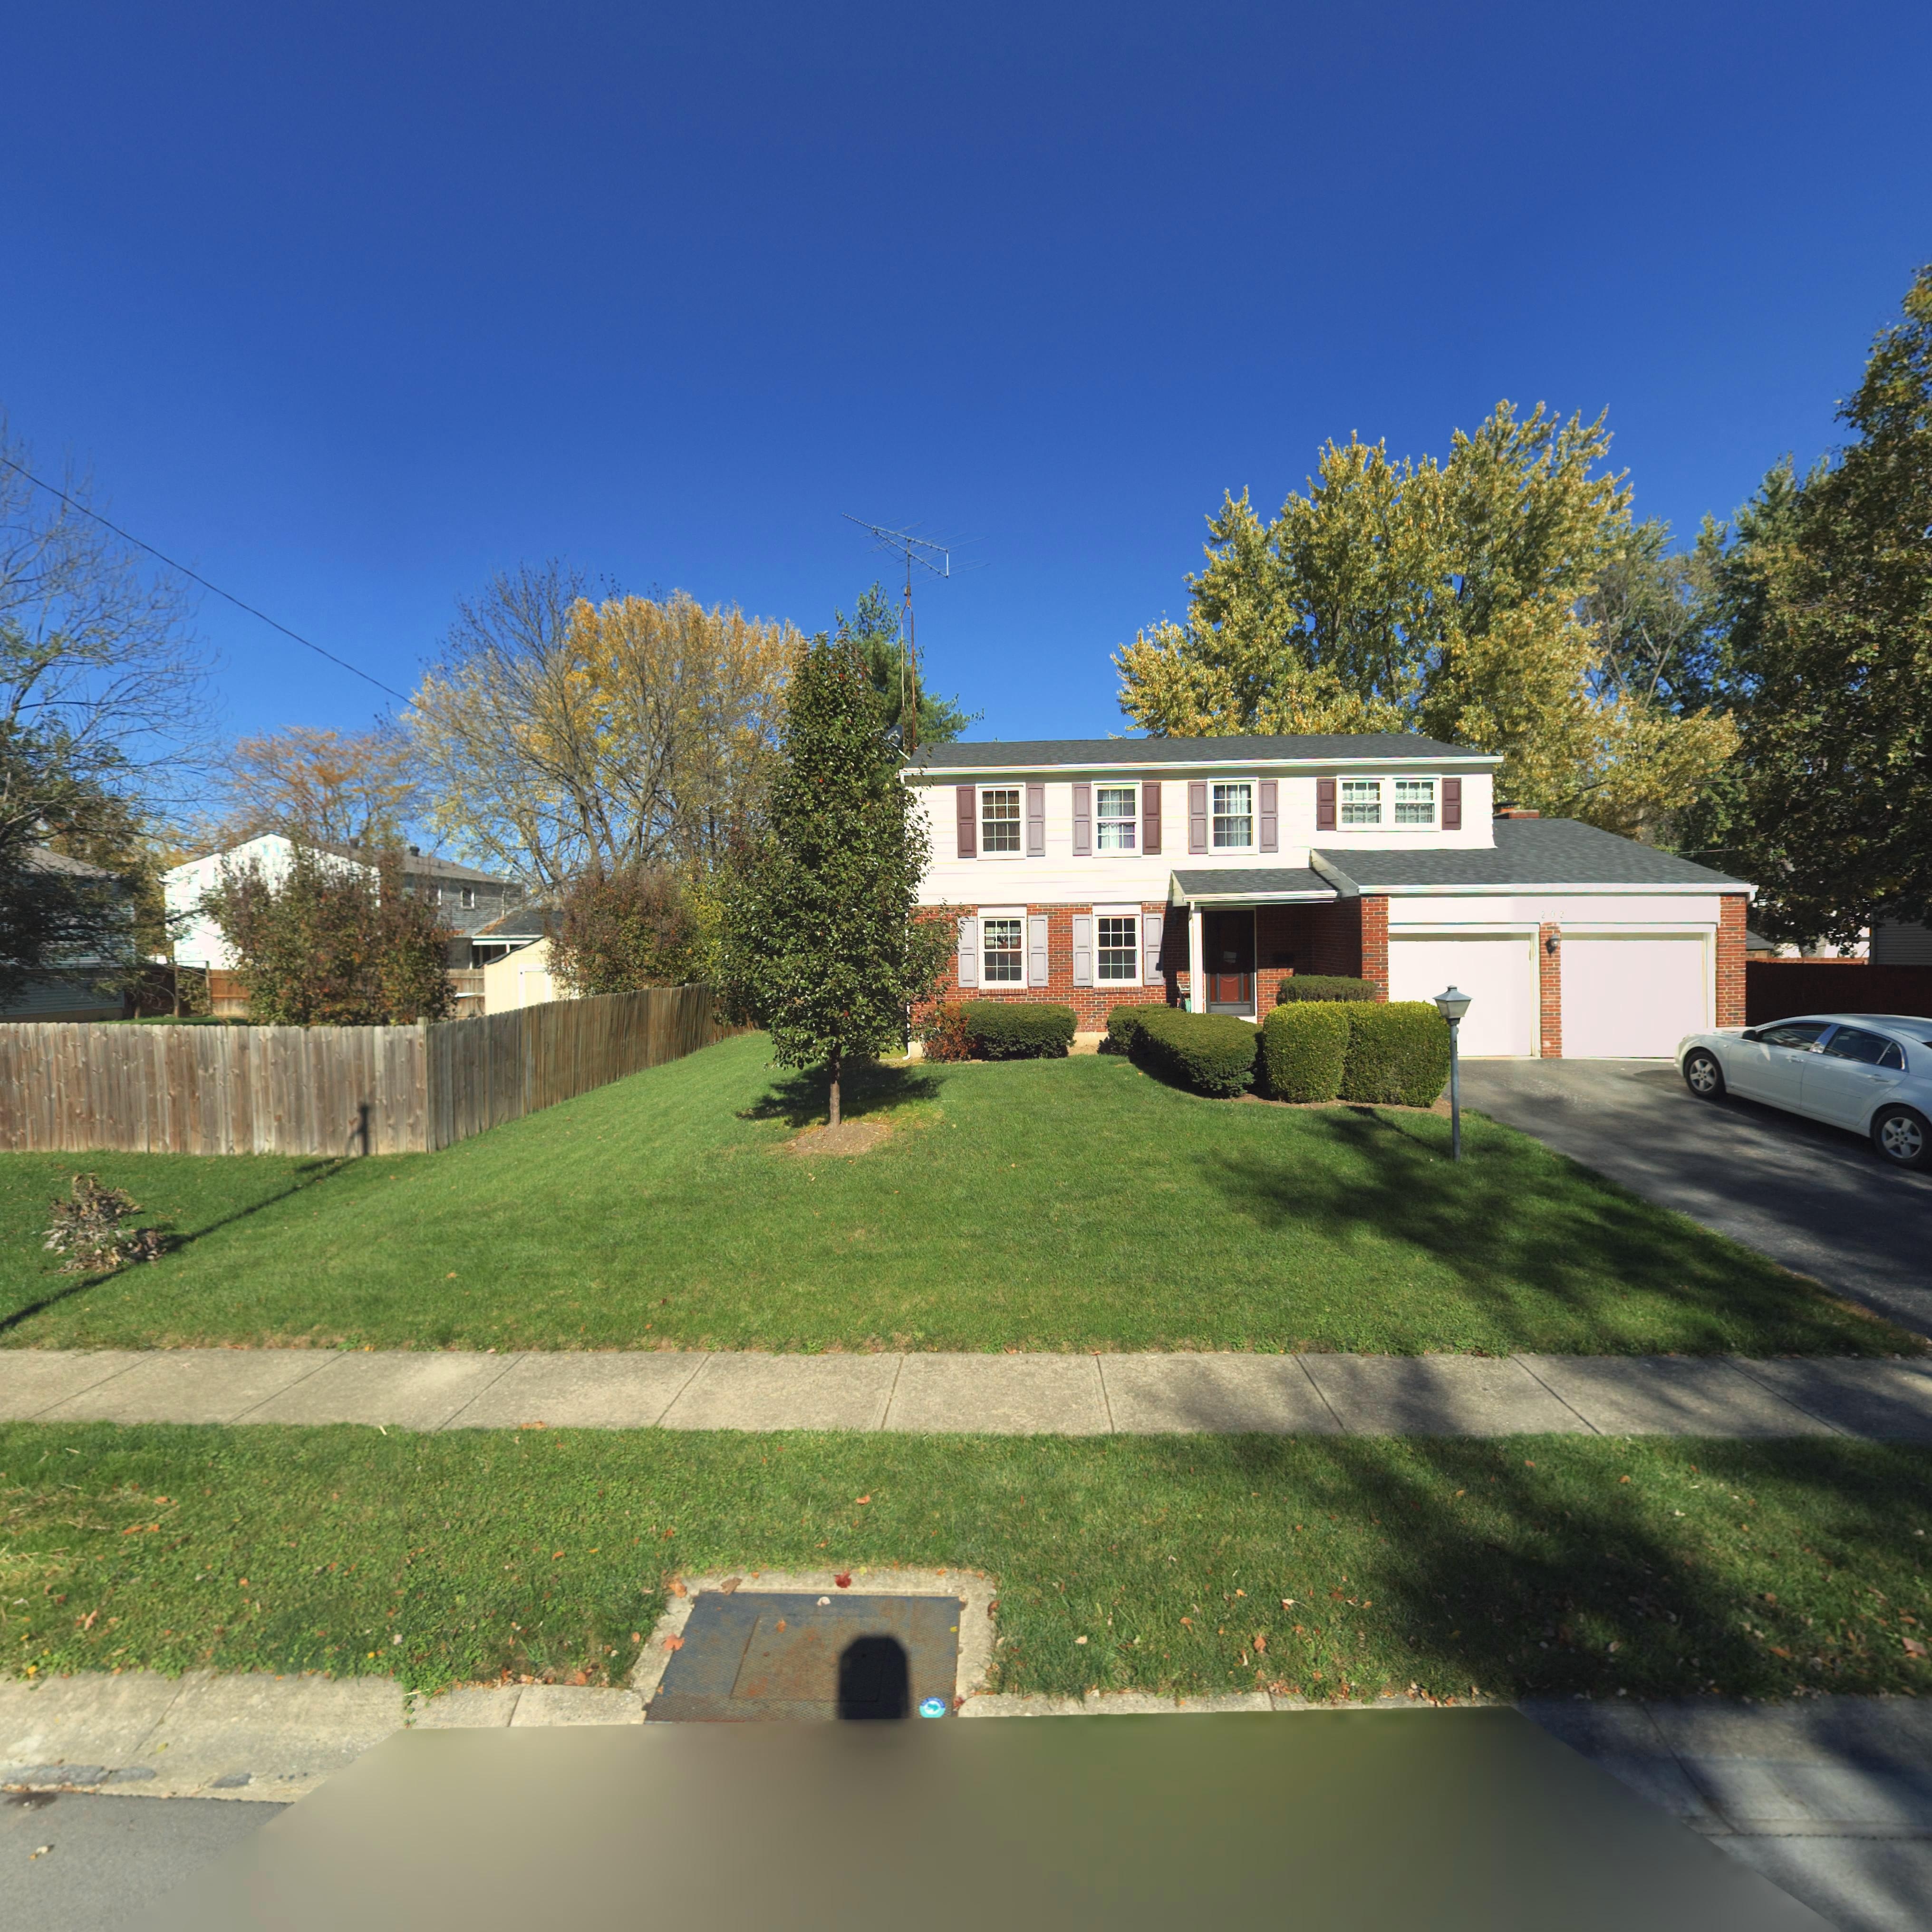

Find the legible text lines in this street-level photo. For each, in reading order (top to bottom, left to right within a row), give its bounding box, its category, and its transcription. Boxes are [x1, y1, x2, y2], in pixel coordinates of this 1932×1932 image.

[1541, 909, 1565, 919] StreetNumber: 202